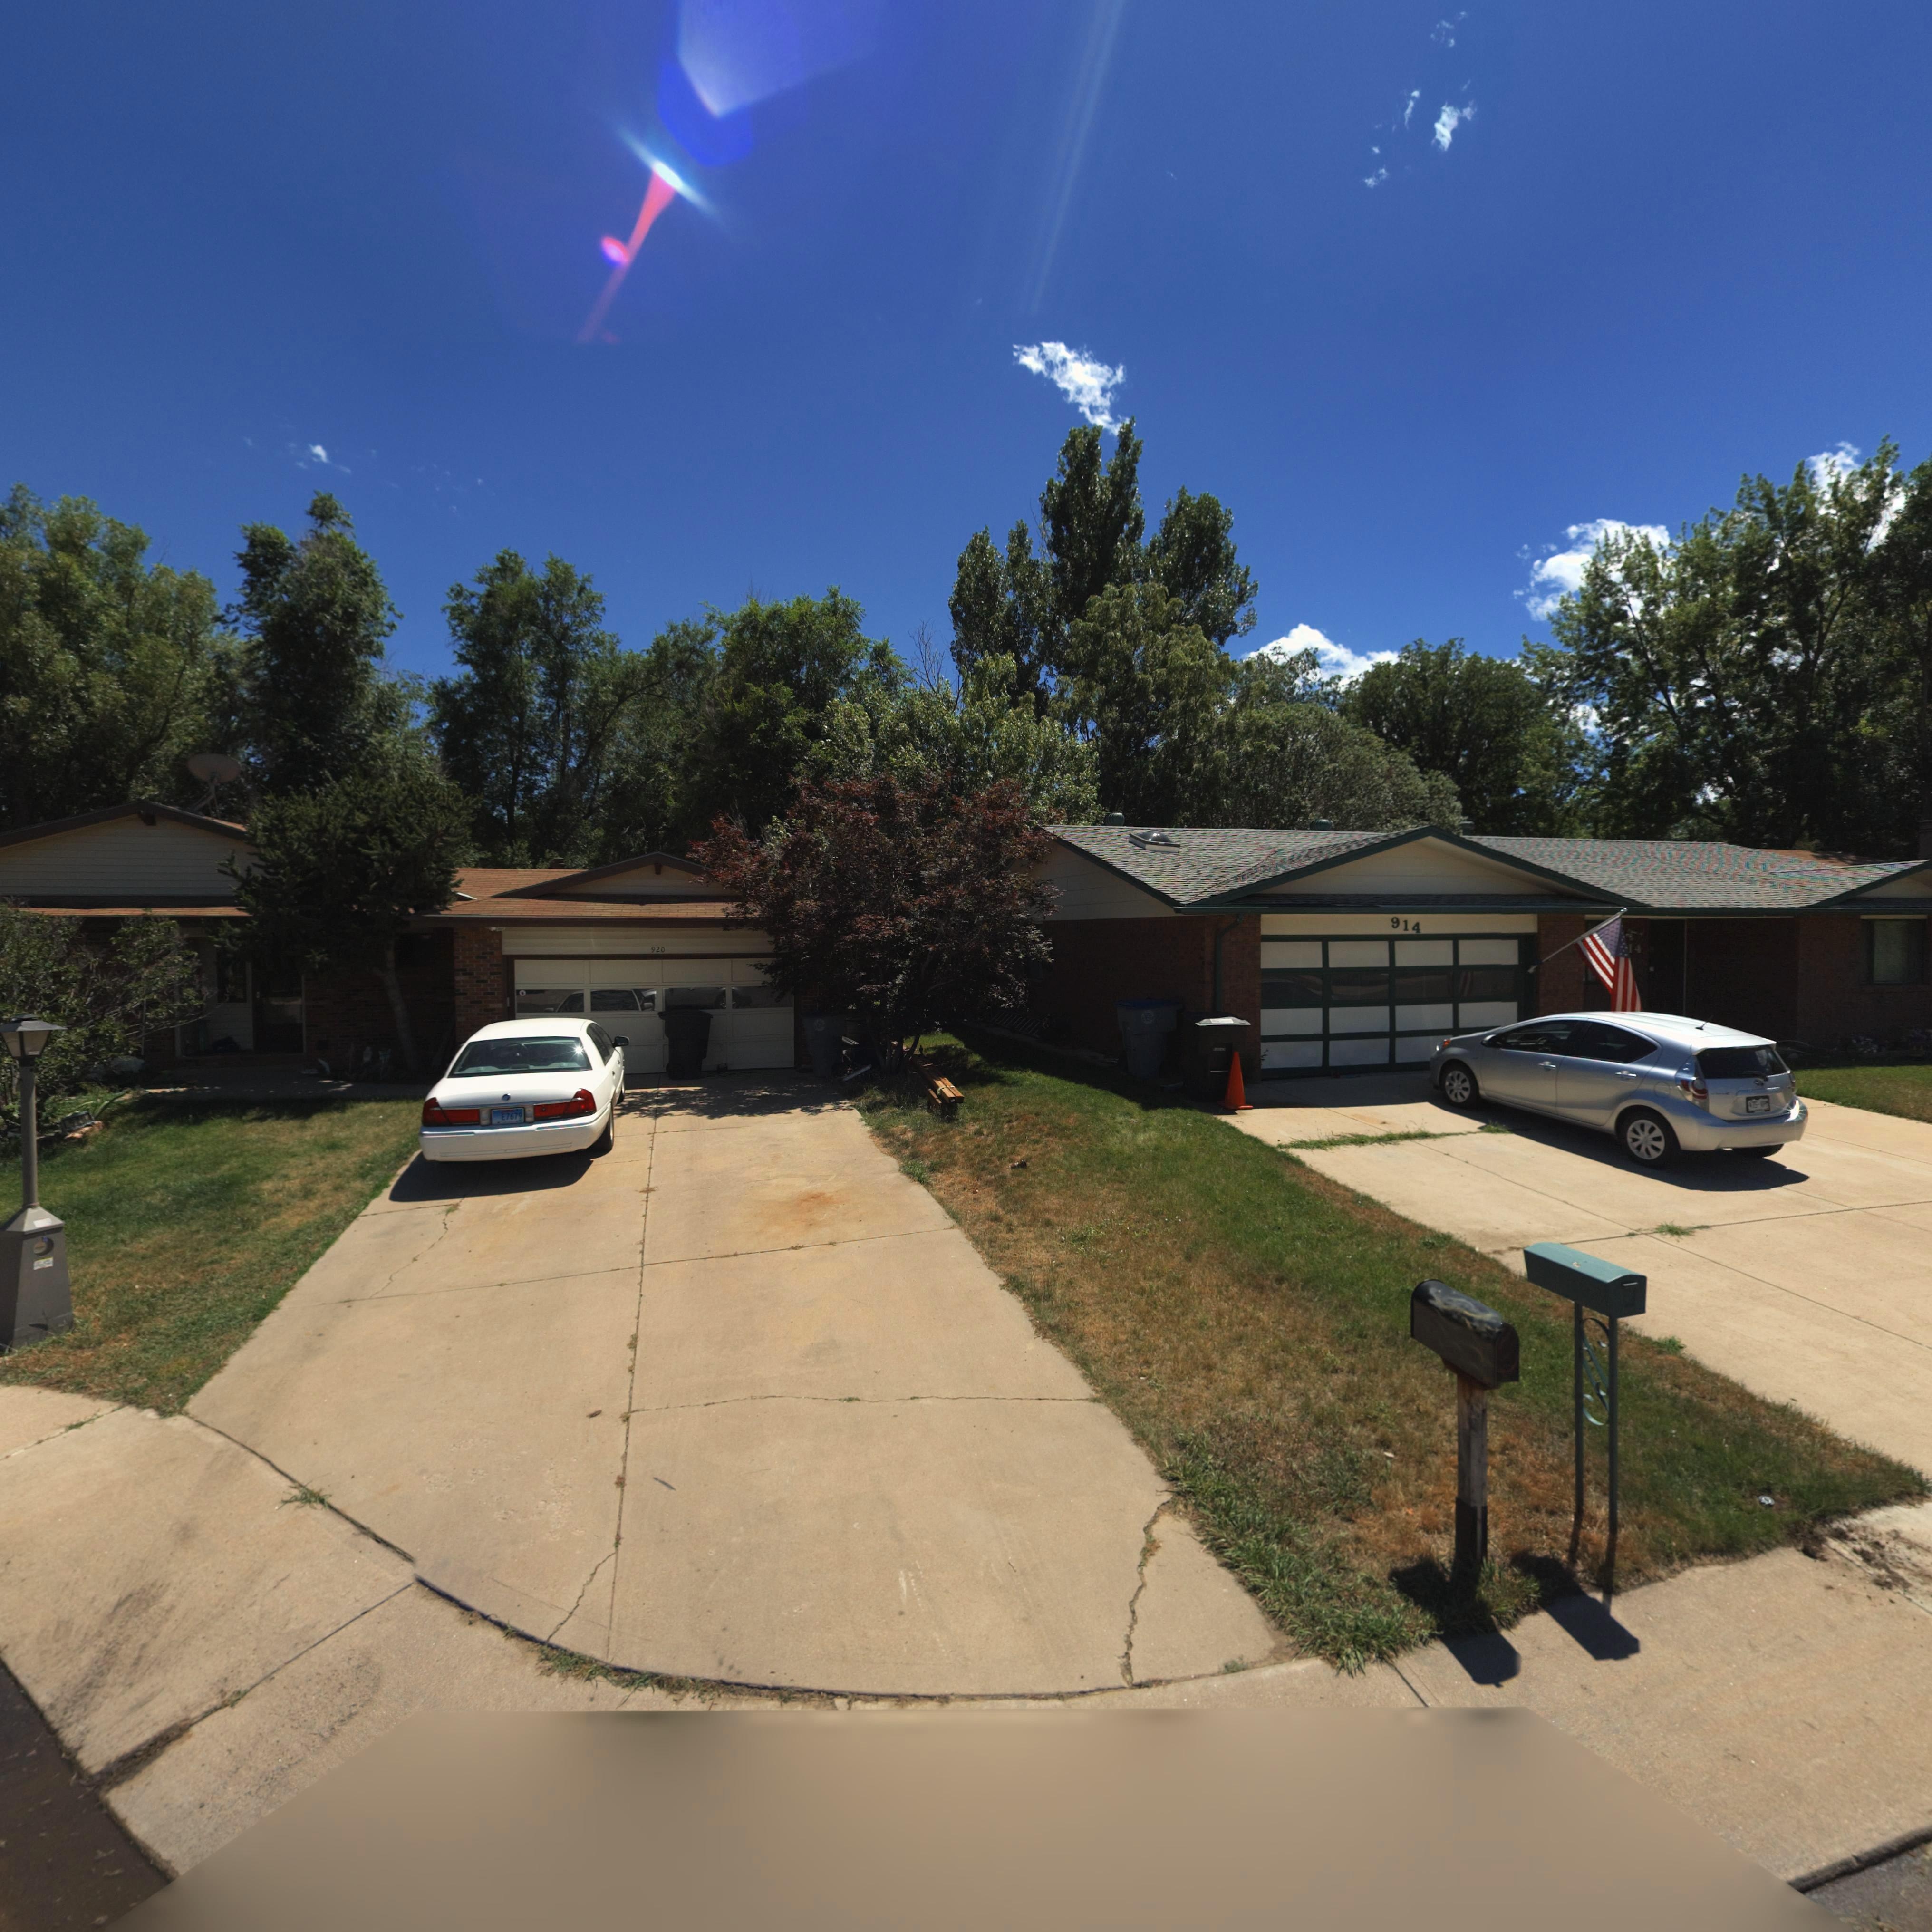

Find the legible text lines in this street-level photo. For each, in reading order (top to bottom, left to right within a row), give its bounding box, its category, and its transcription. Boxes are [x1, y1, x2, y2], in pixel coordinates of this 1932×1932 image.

[1391, 916, 1421, 934] StreetNumber: 914
[651, 946, 665, 953] StreetNumber: 920